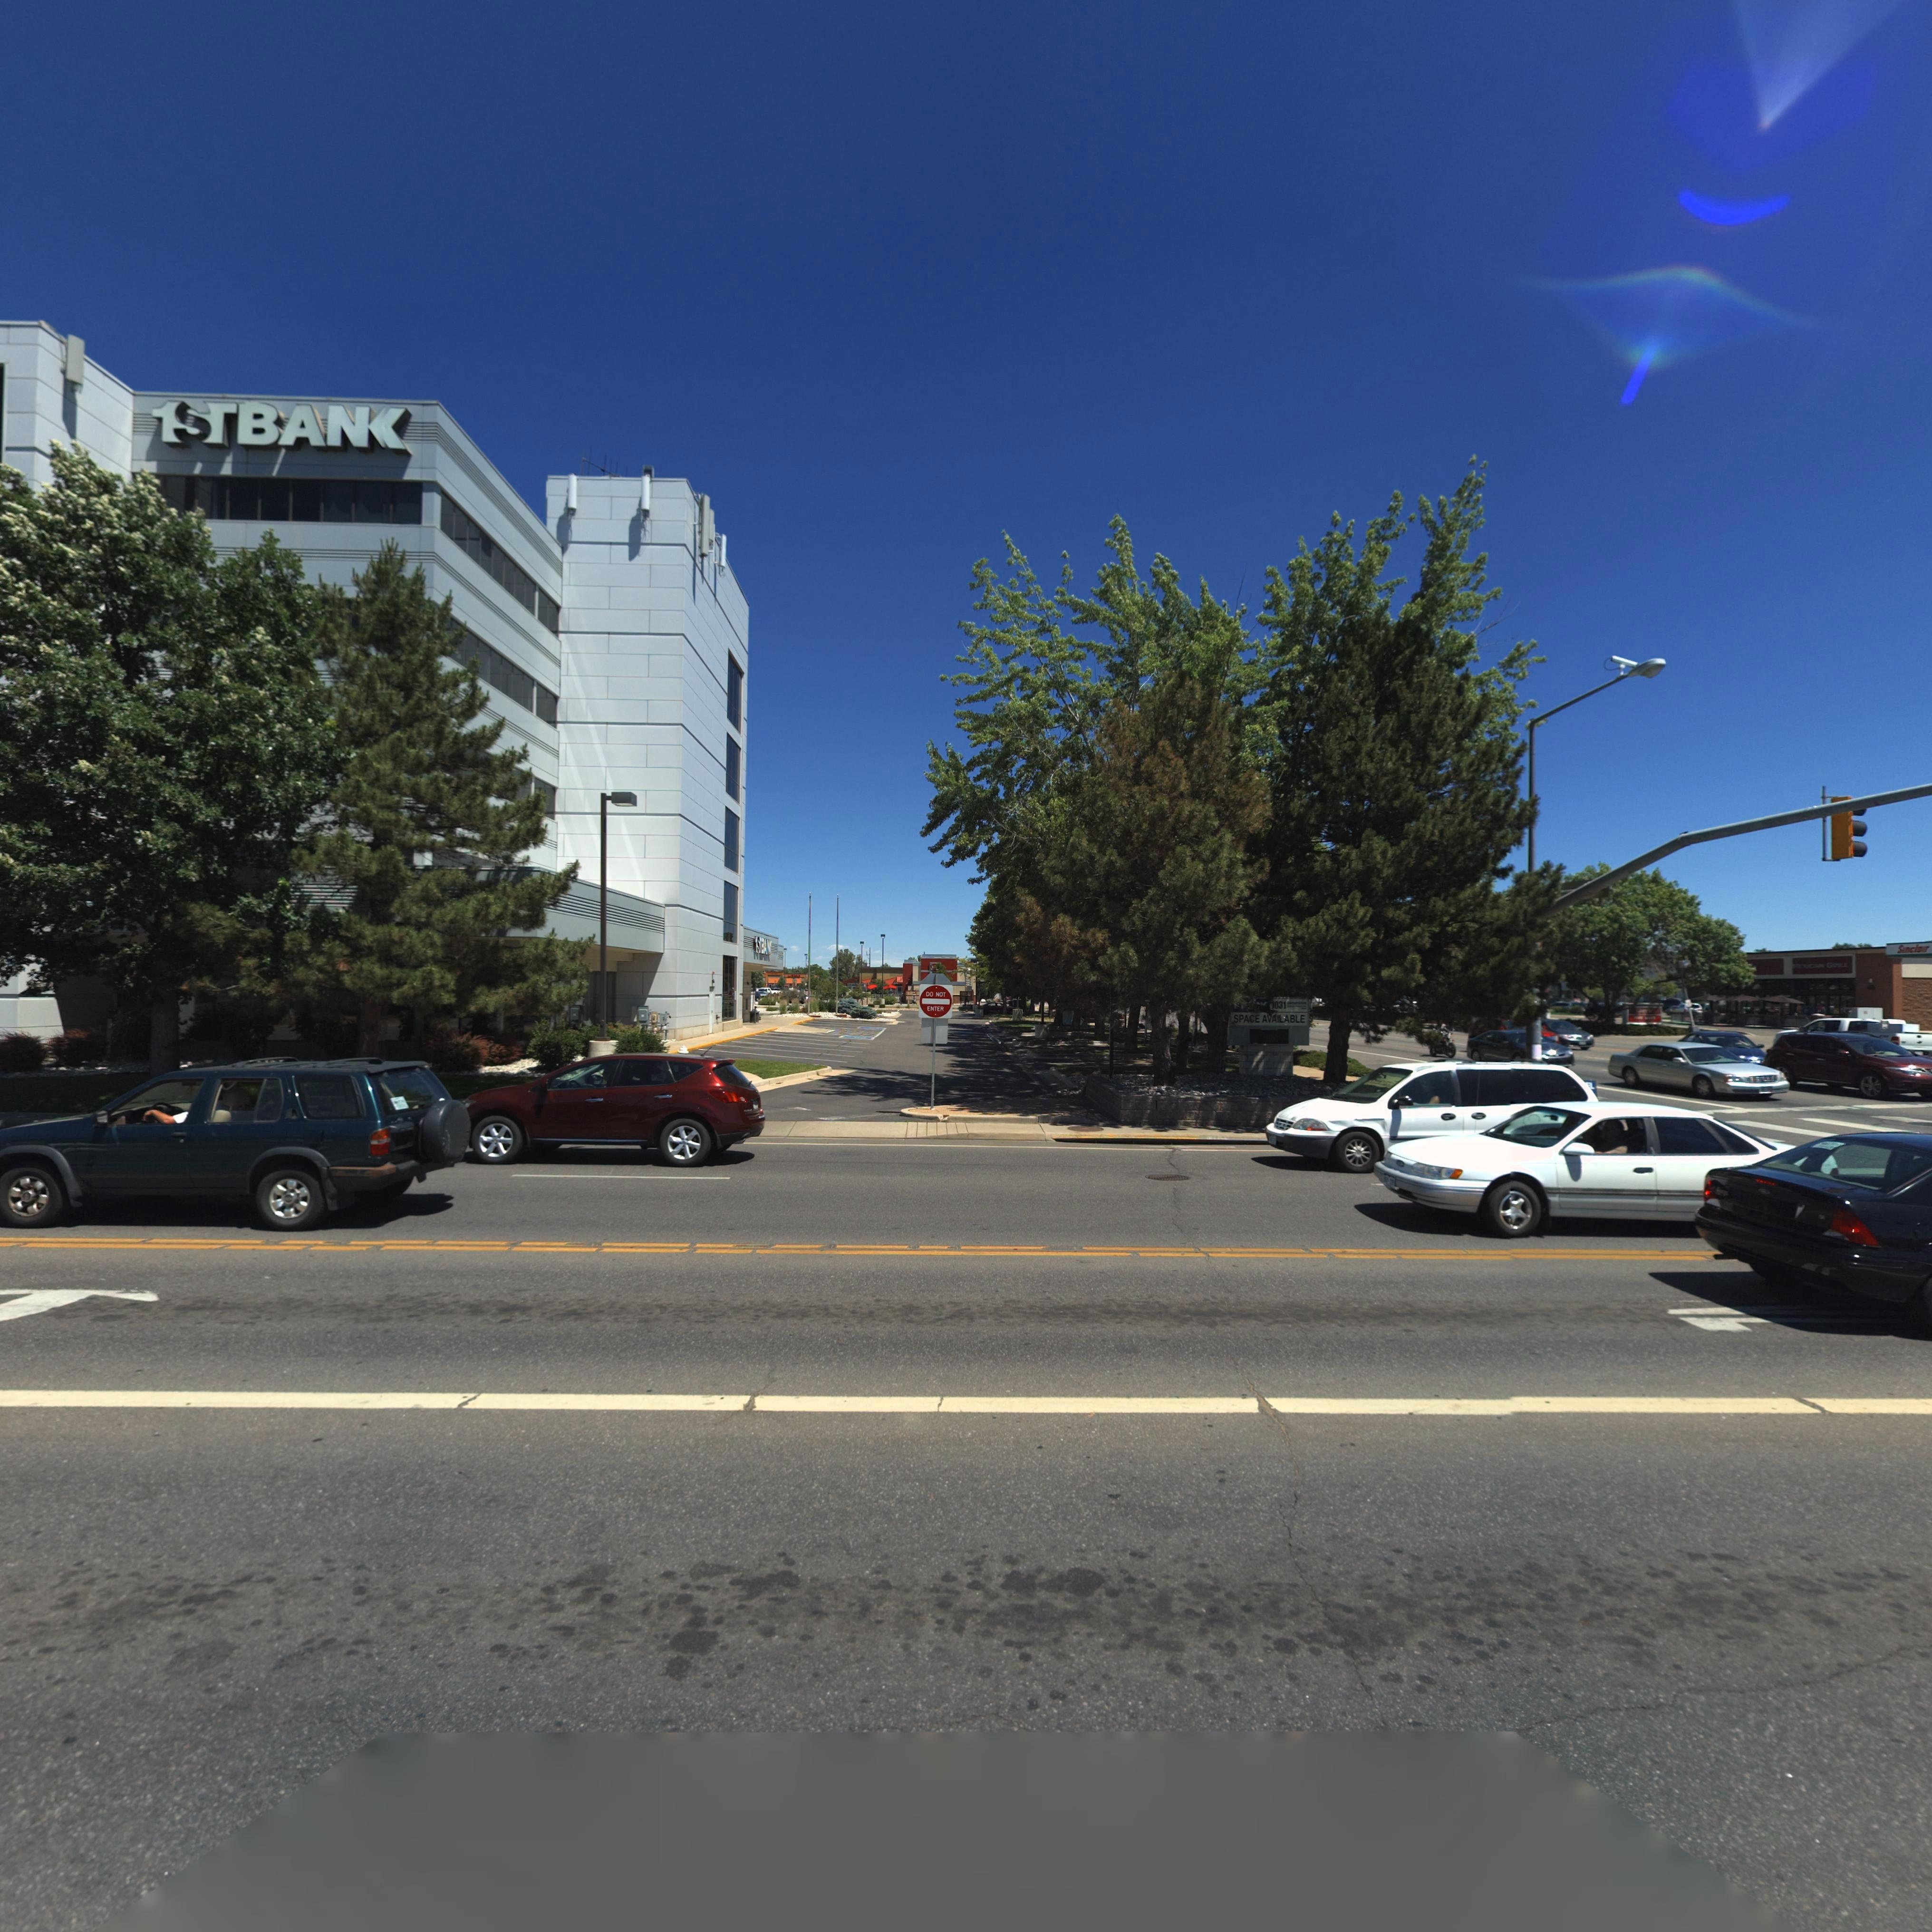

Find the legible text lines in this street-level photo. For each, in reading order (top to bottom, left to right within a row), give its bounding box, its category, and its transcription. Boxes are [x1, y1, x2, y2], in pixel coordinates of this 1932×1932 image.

[150, 399, 410, 452] BusinessName: 1S*BAN*
[754, 936, 772, 956] BusinessName: 1S*BAN*
[1896, 943, 1931, 953] BusinessName: Sinclair
[1792, 962, 1850, 969] BusinessName: MEXICAN GRILL
[1270, 1000, 1286, 1009] StreetNumber: 1031